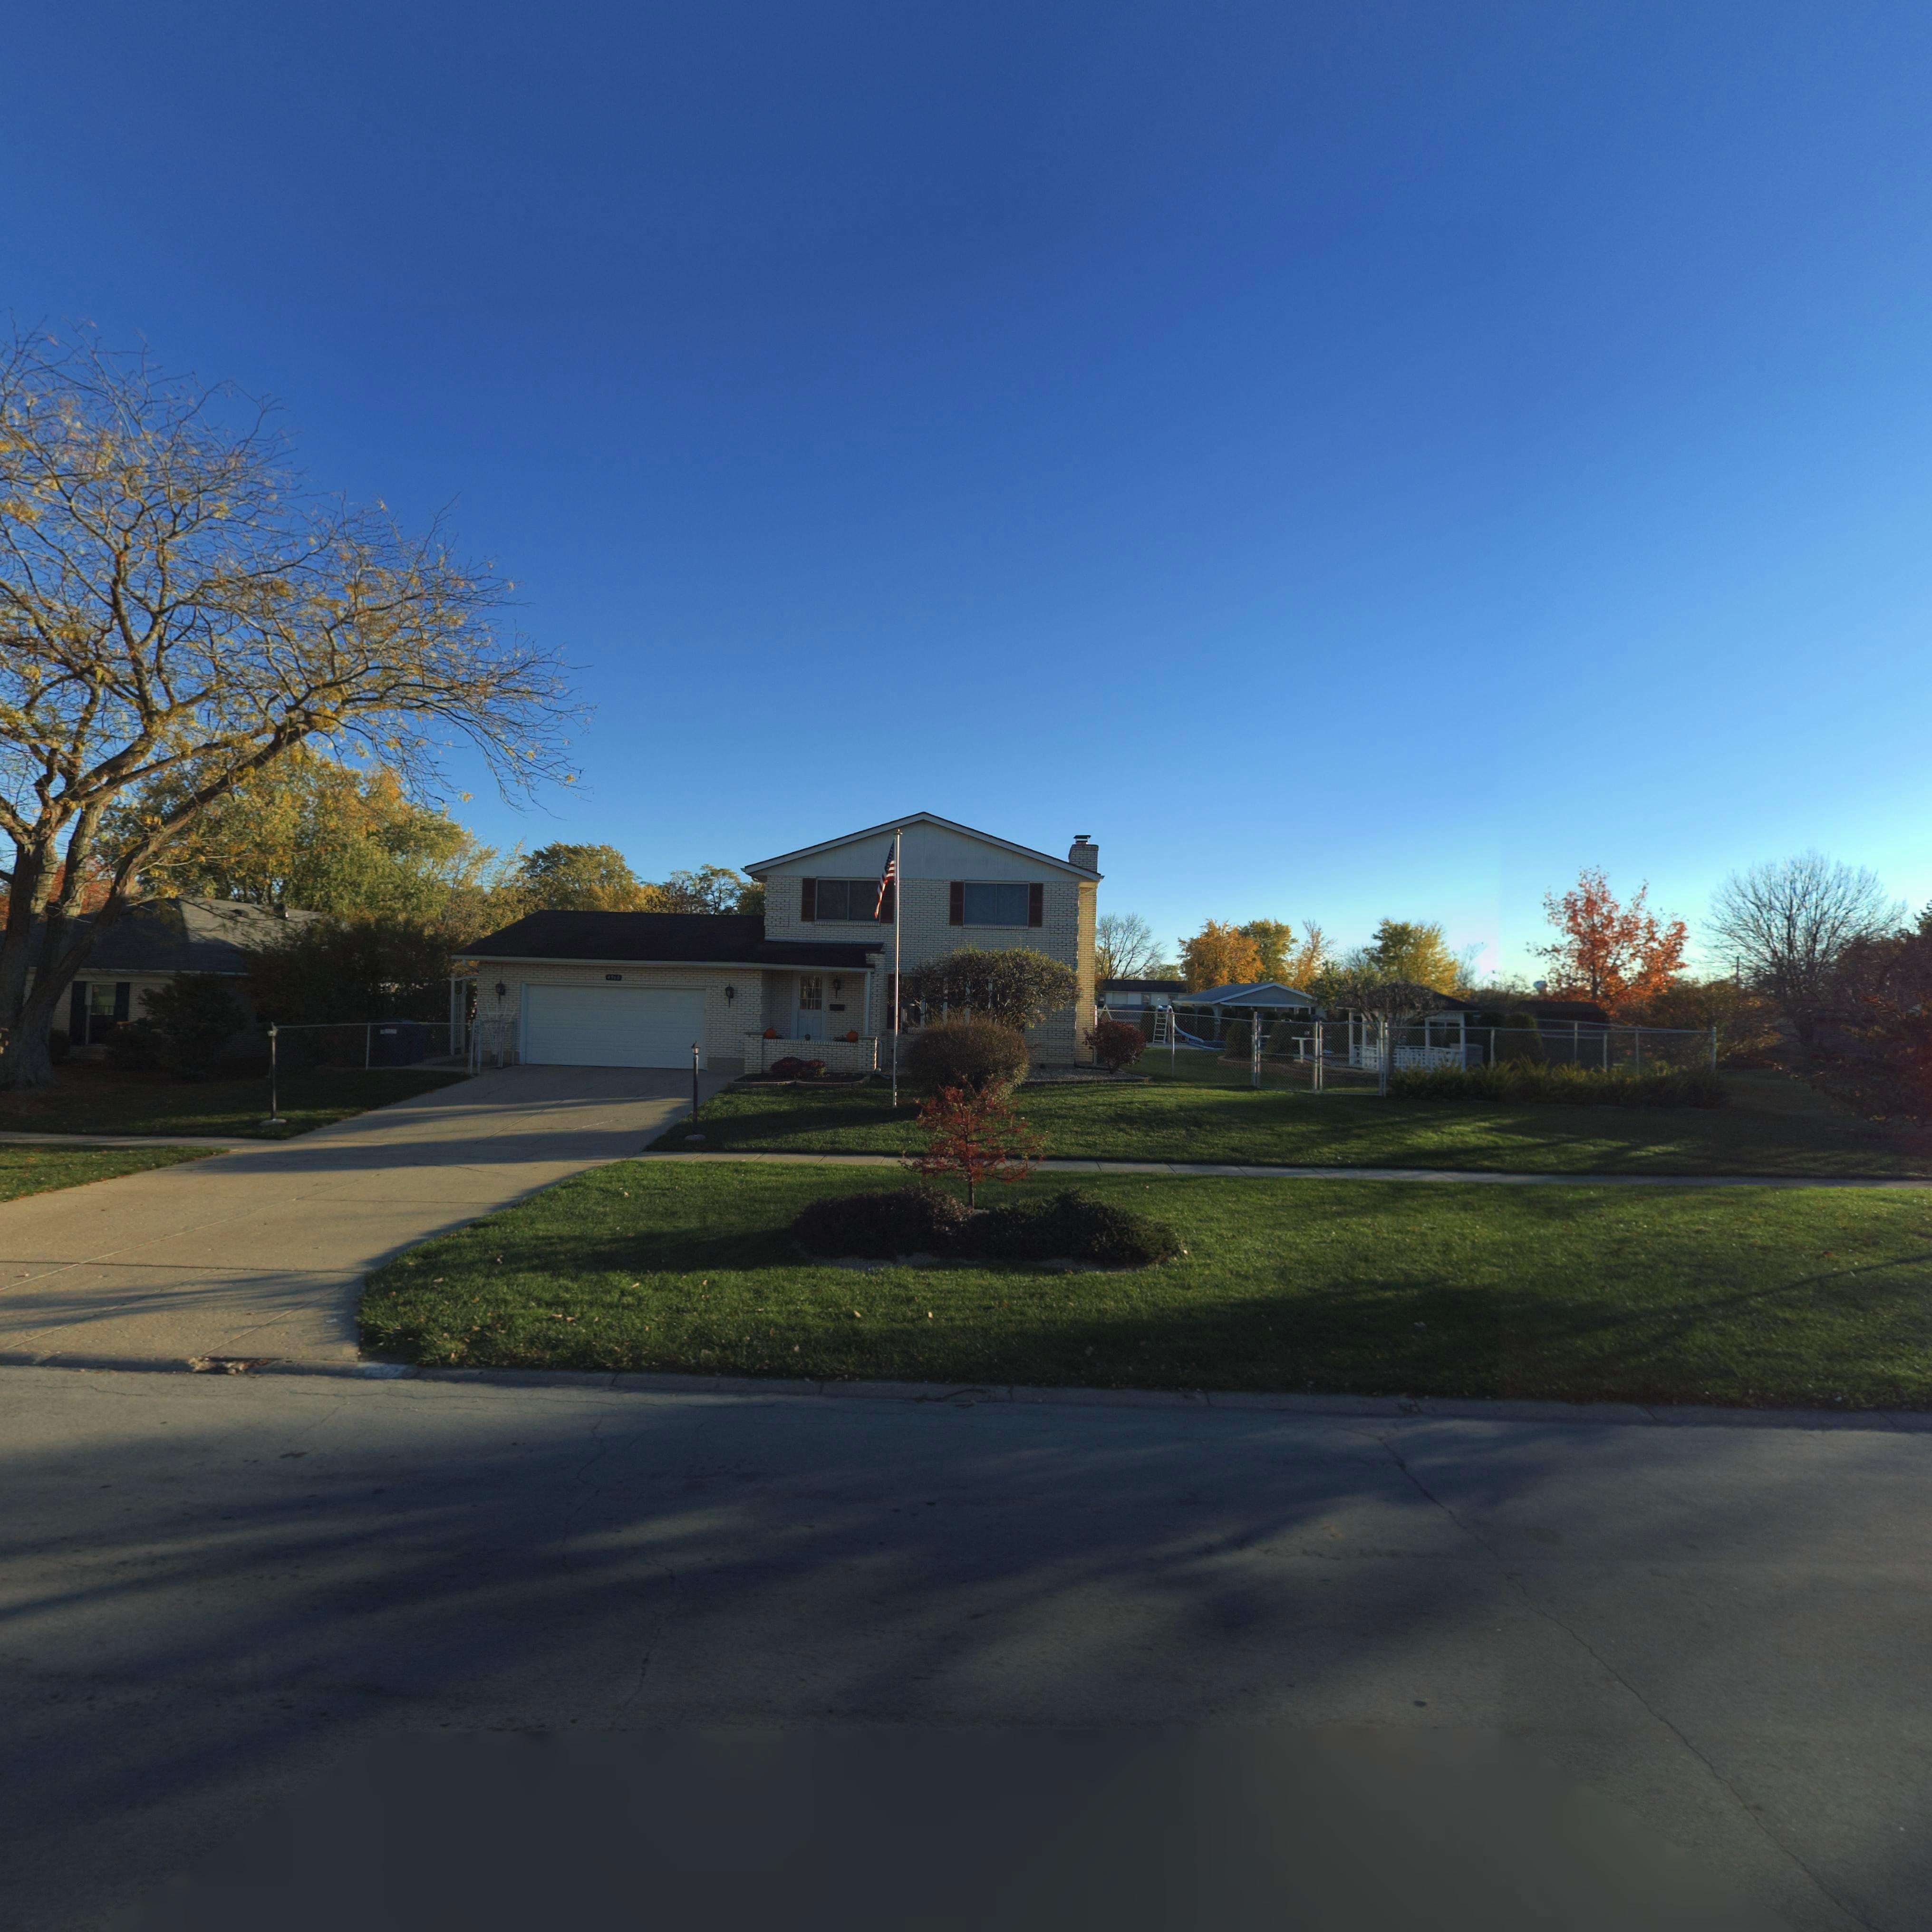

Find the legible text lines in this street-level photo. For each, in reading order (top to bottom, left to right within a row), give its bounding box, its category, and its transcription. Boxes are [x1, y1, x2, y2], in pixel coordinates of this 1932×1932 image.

[607, 975, 621, 980] StreetNumber: 4960
[383, 1364, 400, 1379] StreetNumber: 0